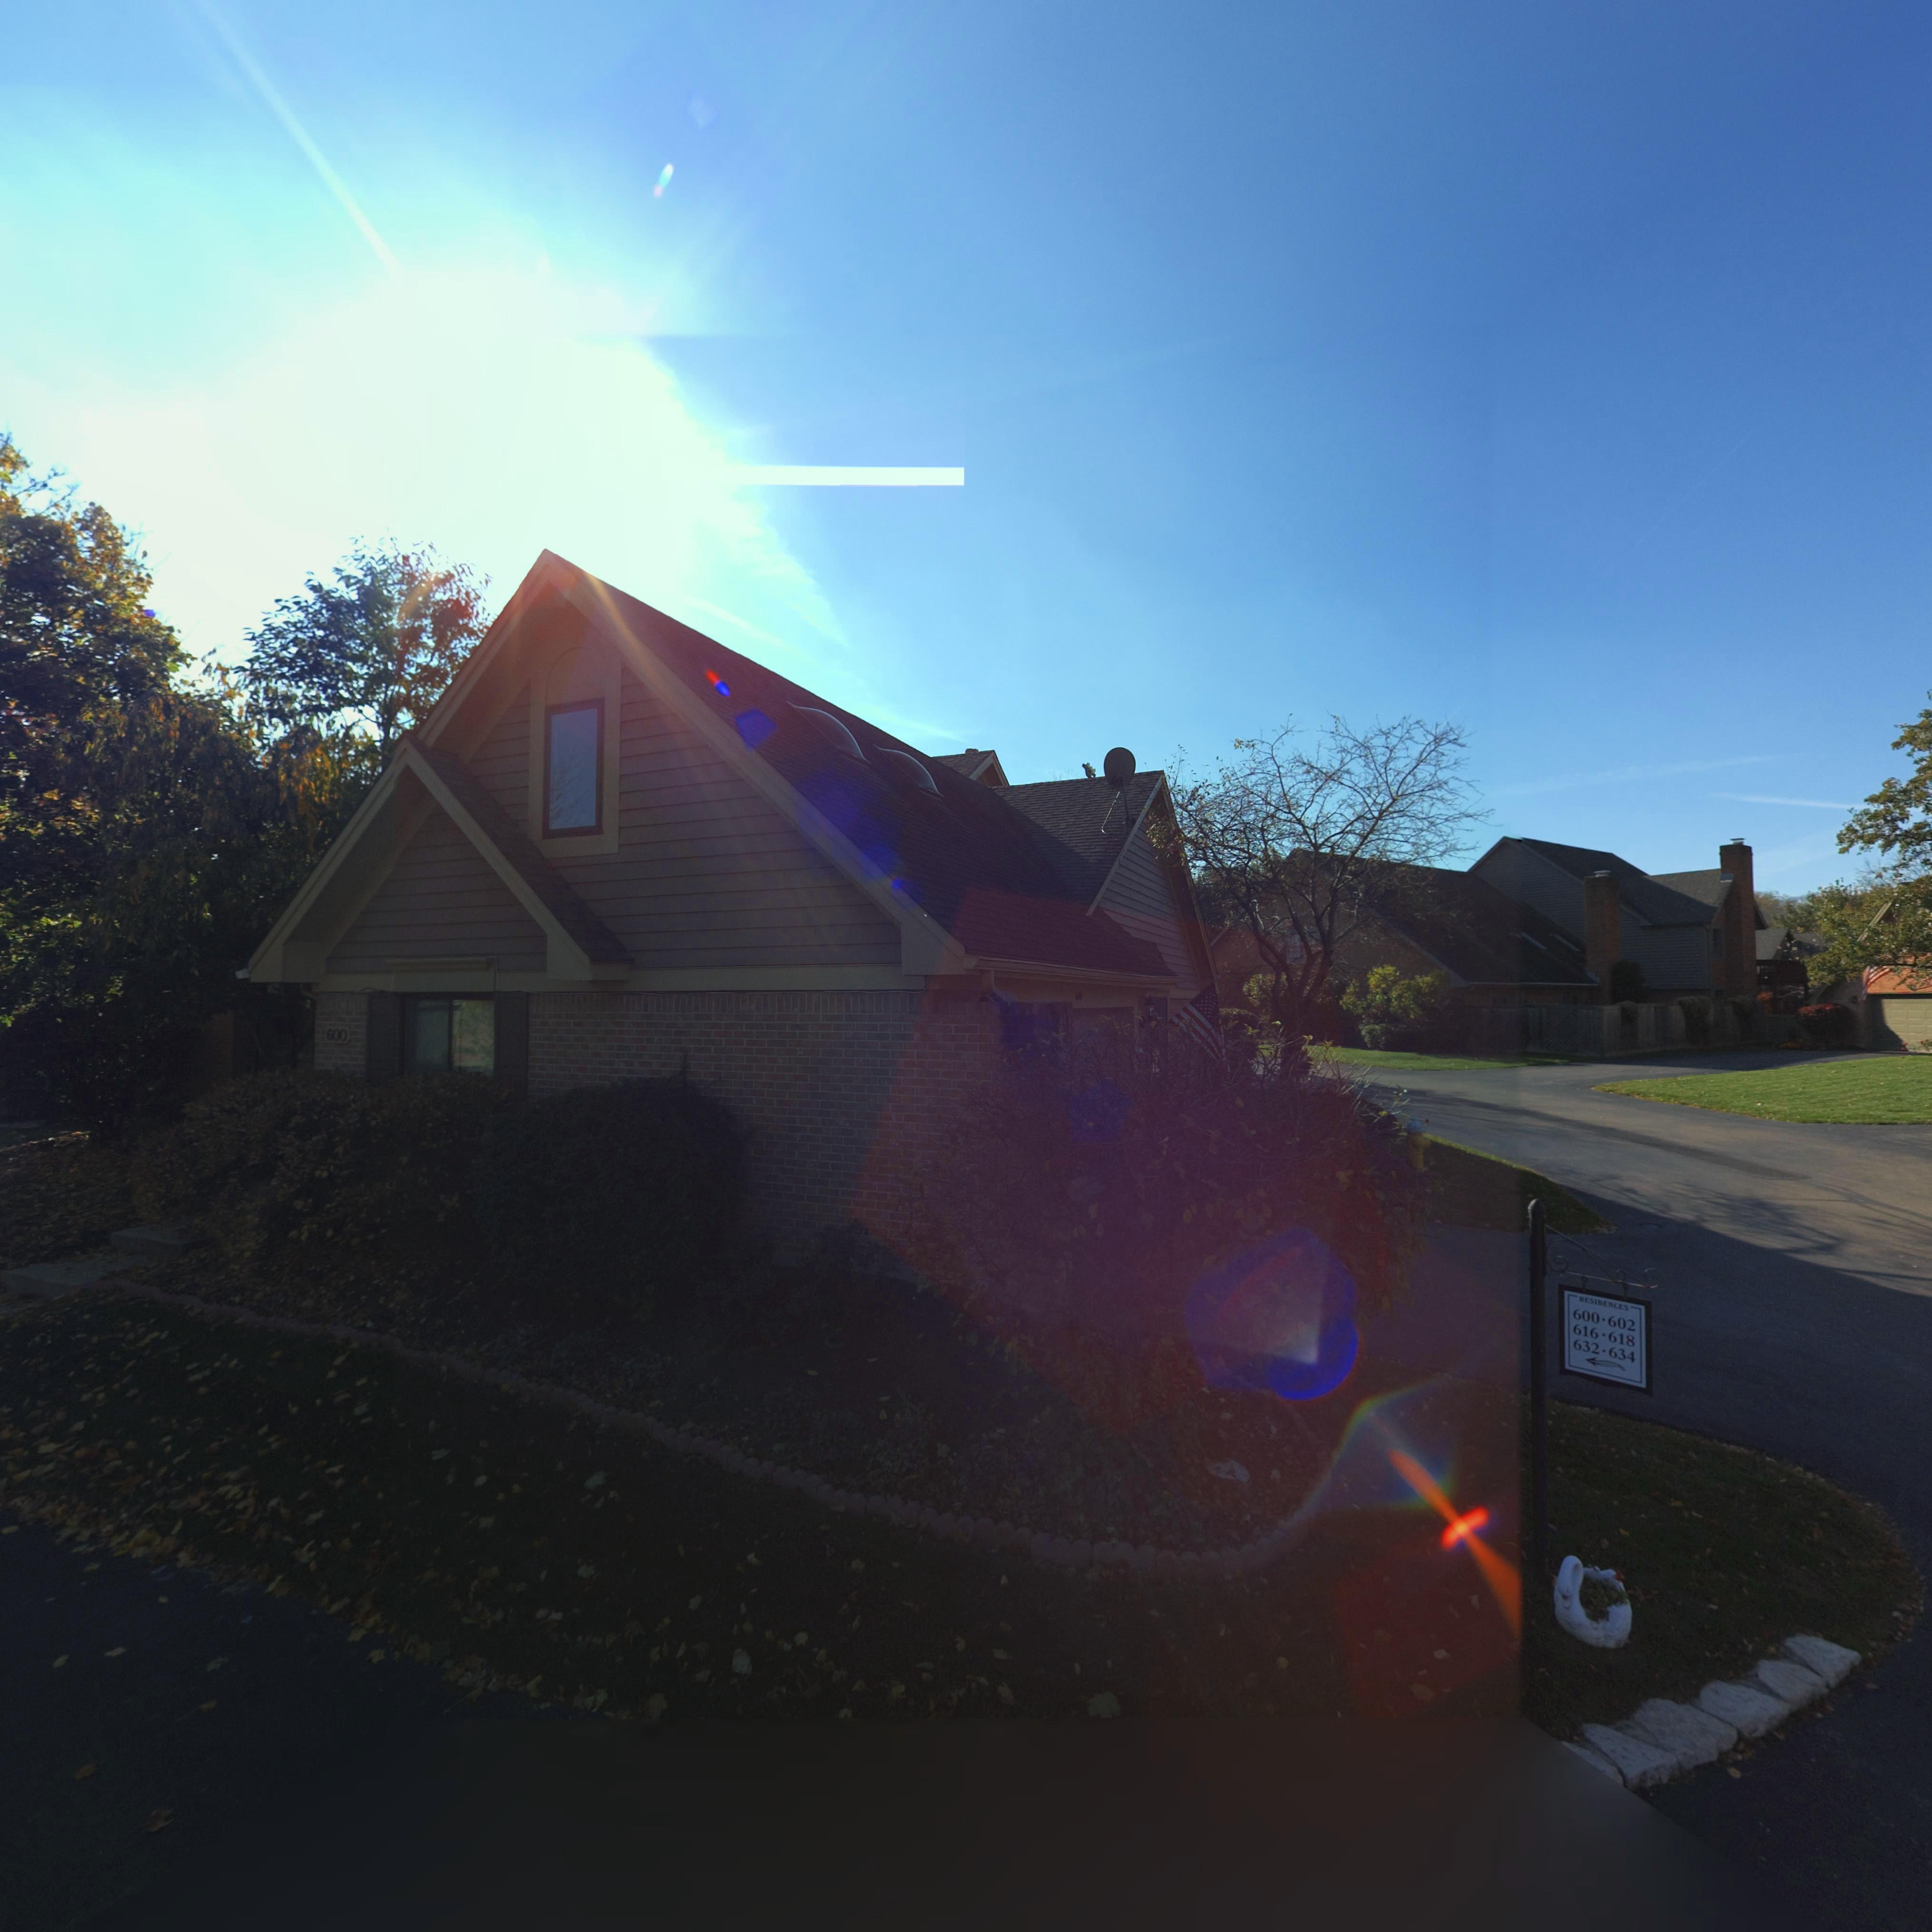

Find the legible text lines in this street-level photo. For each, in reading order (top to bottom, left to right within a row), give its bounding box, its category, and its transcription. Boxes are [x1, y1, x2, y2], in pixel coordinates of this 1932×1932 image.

[326, 1028, 348, 1043] StreetNumber: 600
[1572, 1323, 1600, 1340] StreetNumber: 616
[1572, 1306, 1601, 1325] StreetNumber: 600
[1573, 1337, 1601, 1355] StreetNumber: 632
[1606, 1314, 1637, 1333] StreetNumber: 602
[1607, 1330, 1636, 1348] StreetNumber: 618
[1608, 1345, 1637, 1364] StreetNumber: 634